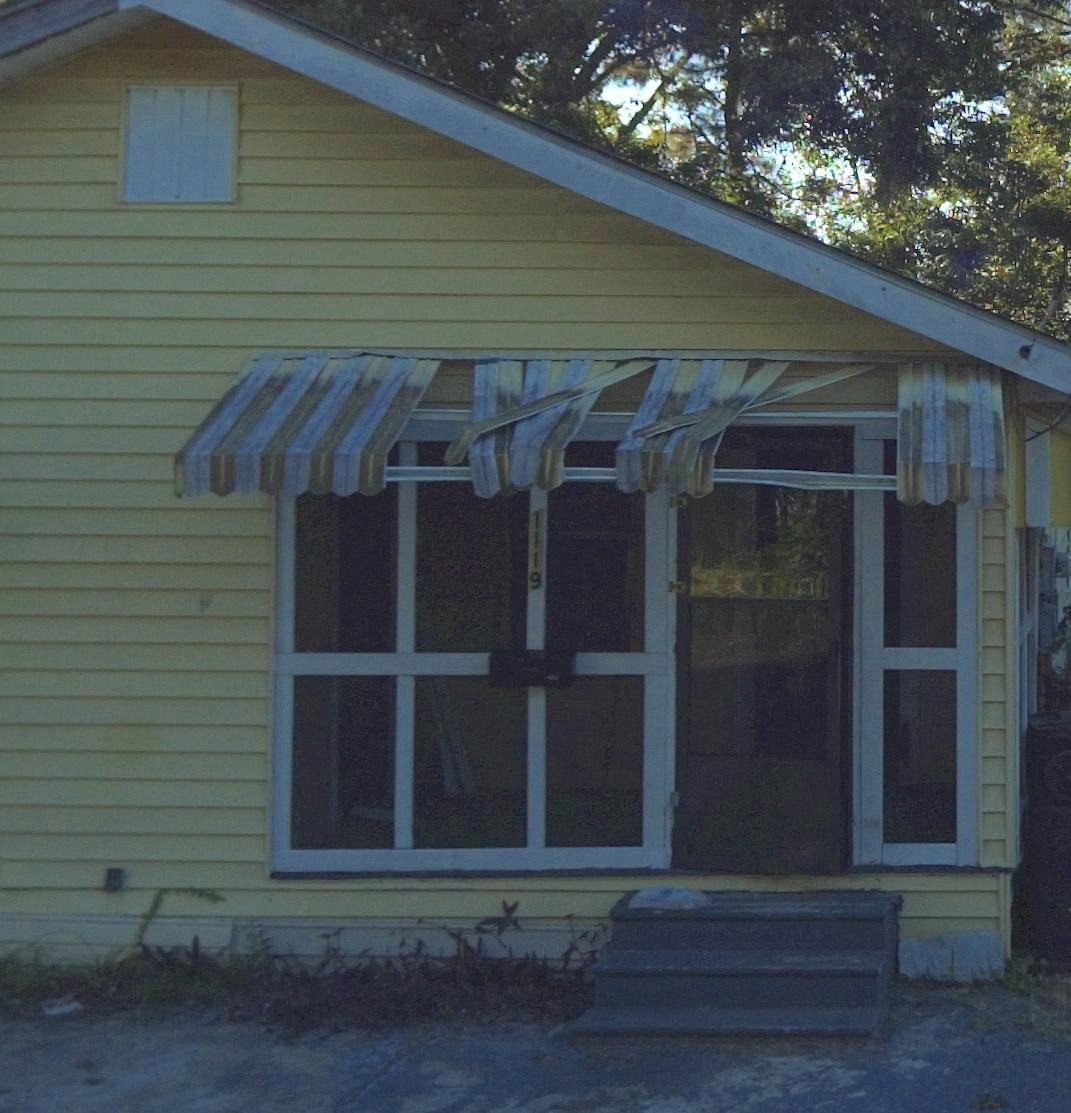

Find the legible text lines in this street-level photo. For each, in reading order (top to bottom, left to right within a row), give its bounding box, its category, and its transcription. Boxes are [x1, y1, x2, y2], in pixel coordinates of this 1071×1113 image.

[526, 506, 545, 594] StreetNumber: 1119